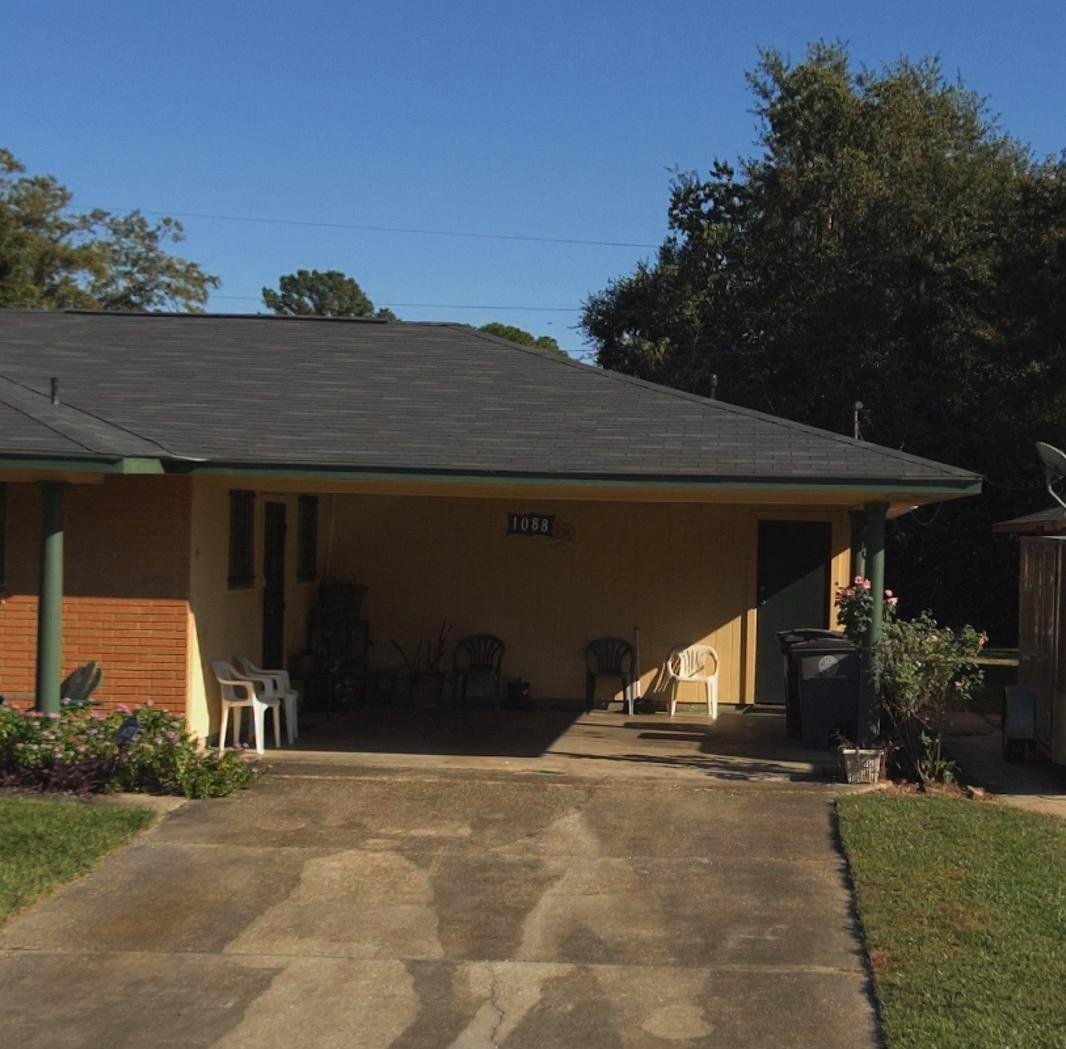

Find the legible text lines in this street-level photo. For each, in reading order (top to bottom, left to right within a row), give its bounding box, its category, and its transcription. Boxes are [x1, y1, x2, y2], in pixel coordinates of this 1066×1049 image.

[512, 515, 549, 532] StreetNumber: 1088